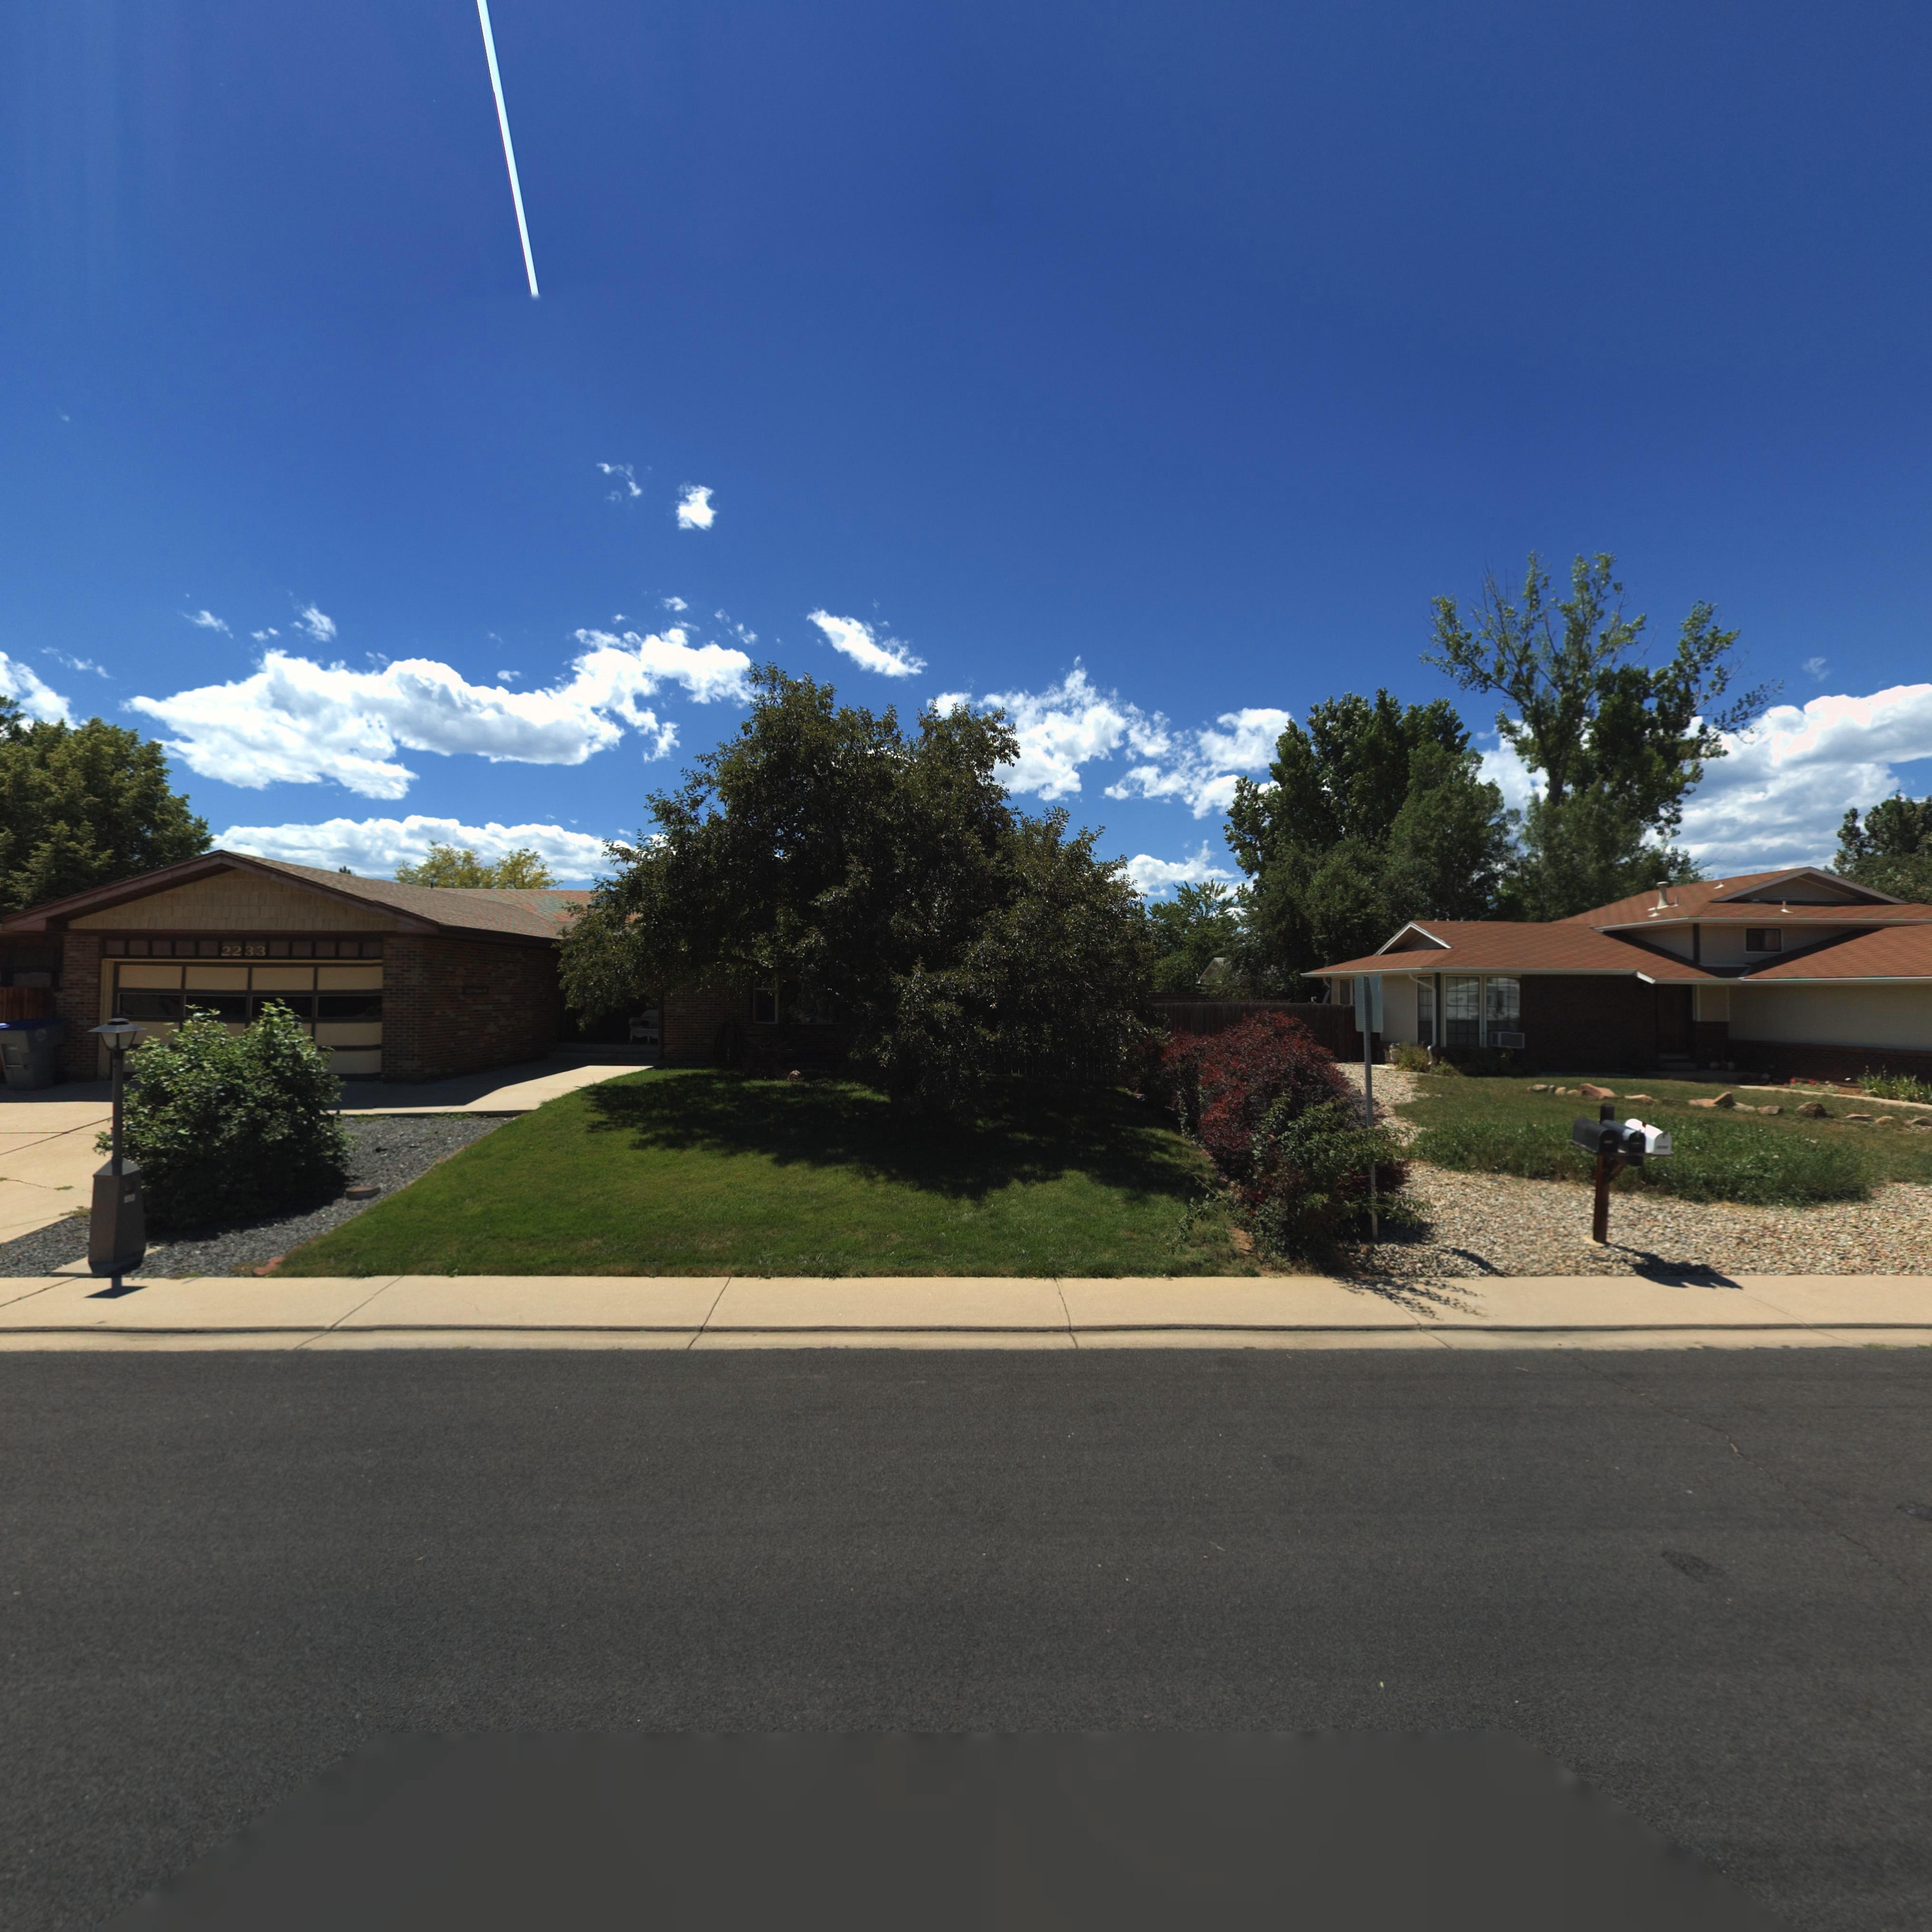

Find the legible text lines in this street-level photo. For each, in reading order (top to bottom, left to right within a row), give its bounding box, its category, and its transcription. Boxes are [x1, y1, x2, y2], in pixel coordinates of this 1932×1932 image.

[217, 943, 268, 958] StreetNumber: 2233